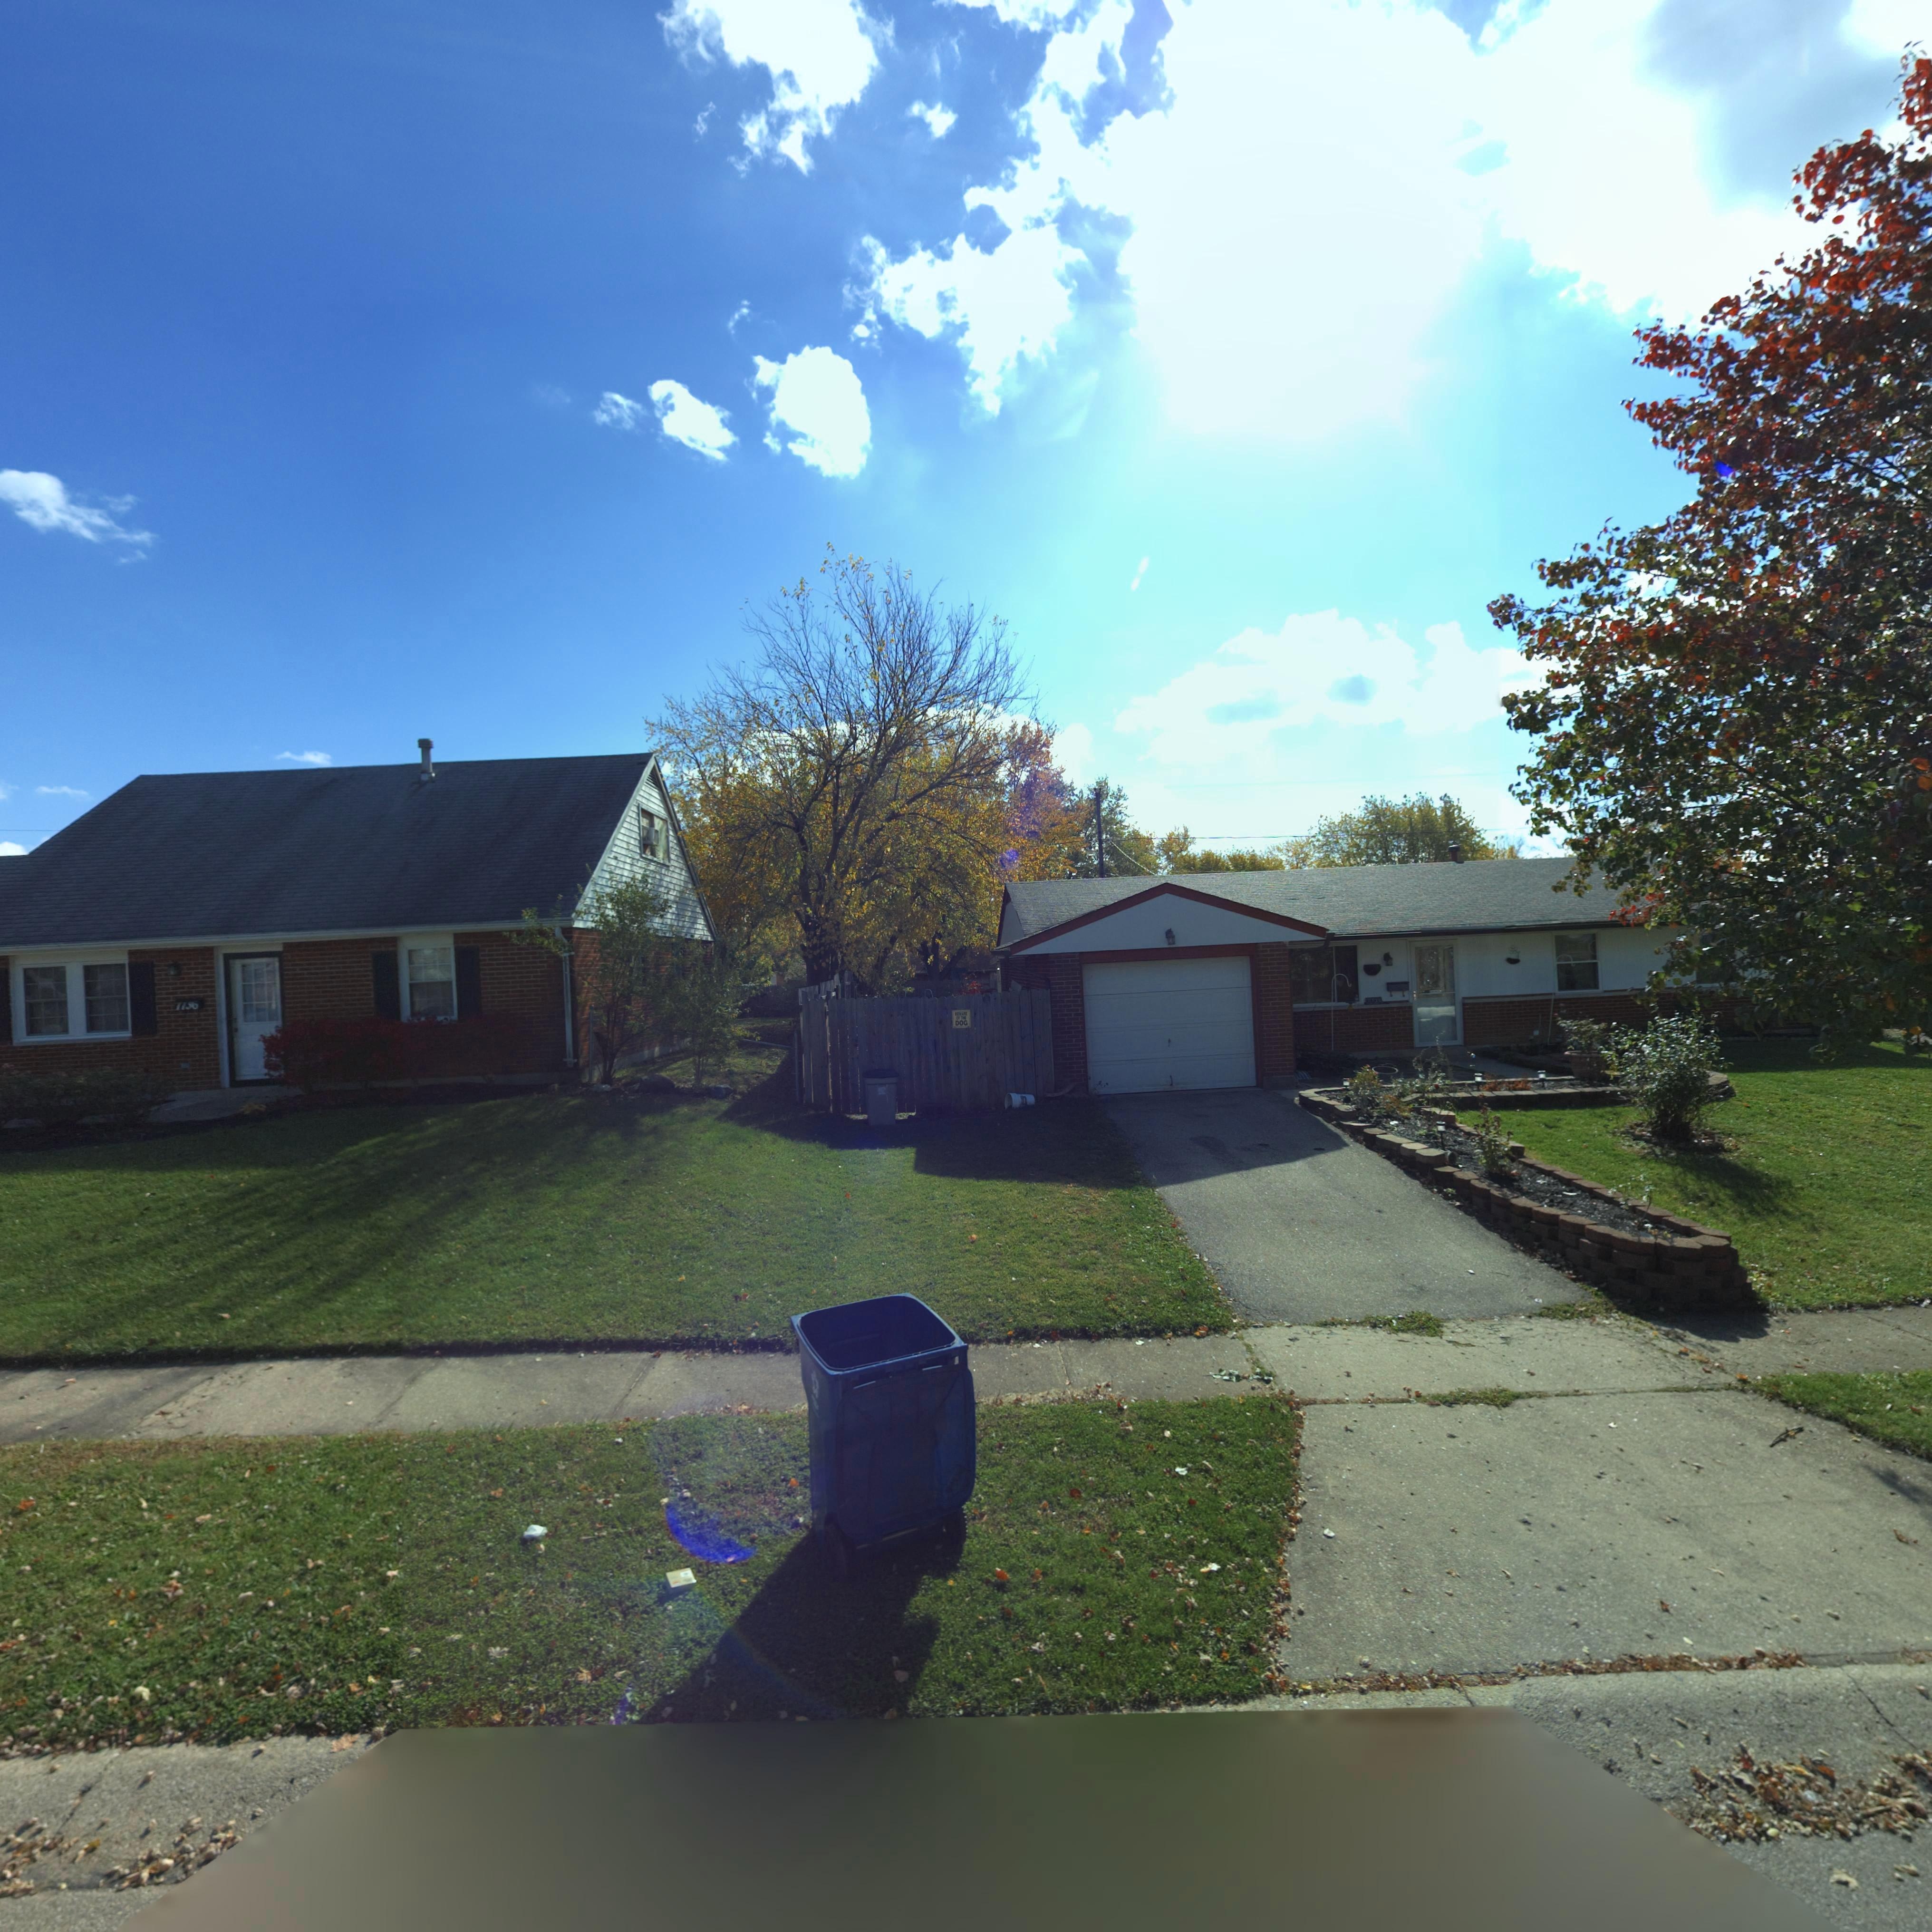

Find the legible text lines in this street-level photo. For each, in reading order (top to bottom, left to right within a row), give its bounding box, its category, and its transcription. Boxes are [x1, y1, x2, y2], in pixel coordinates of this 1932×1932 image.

[174, 1000, 199, 1011] StreetNumber: 7736
[1366, 997, 1382, 1003] StreetNumber: 773*